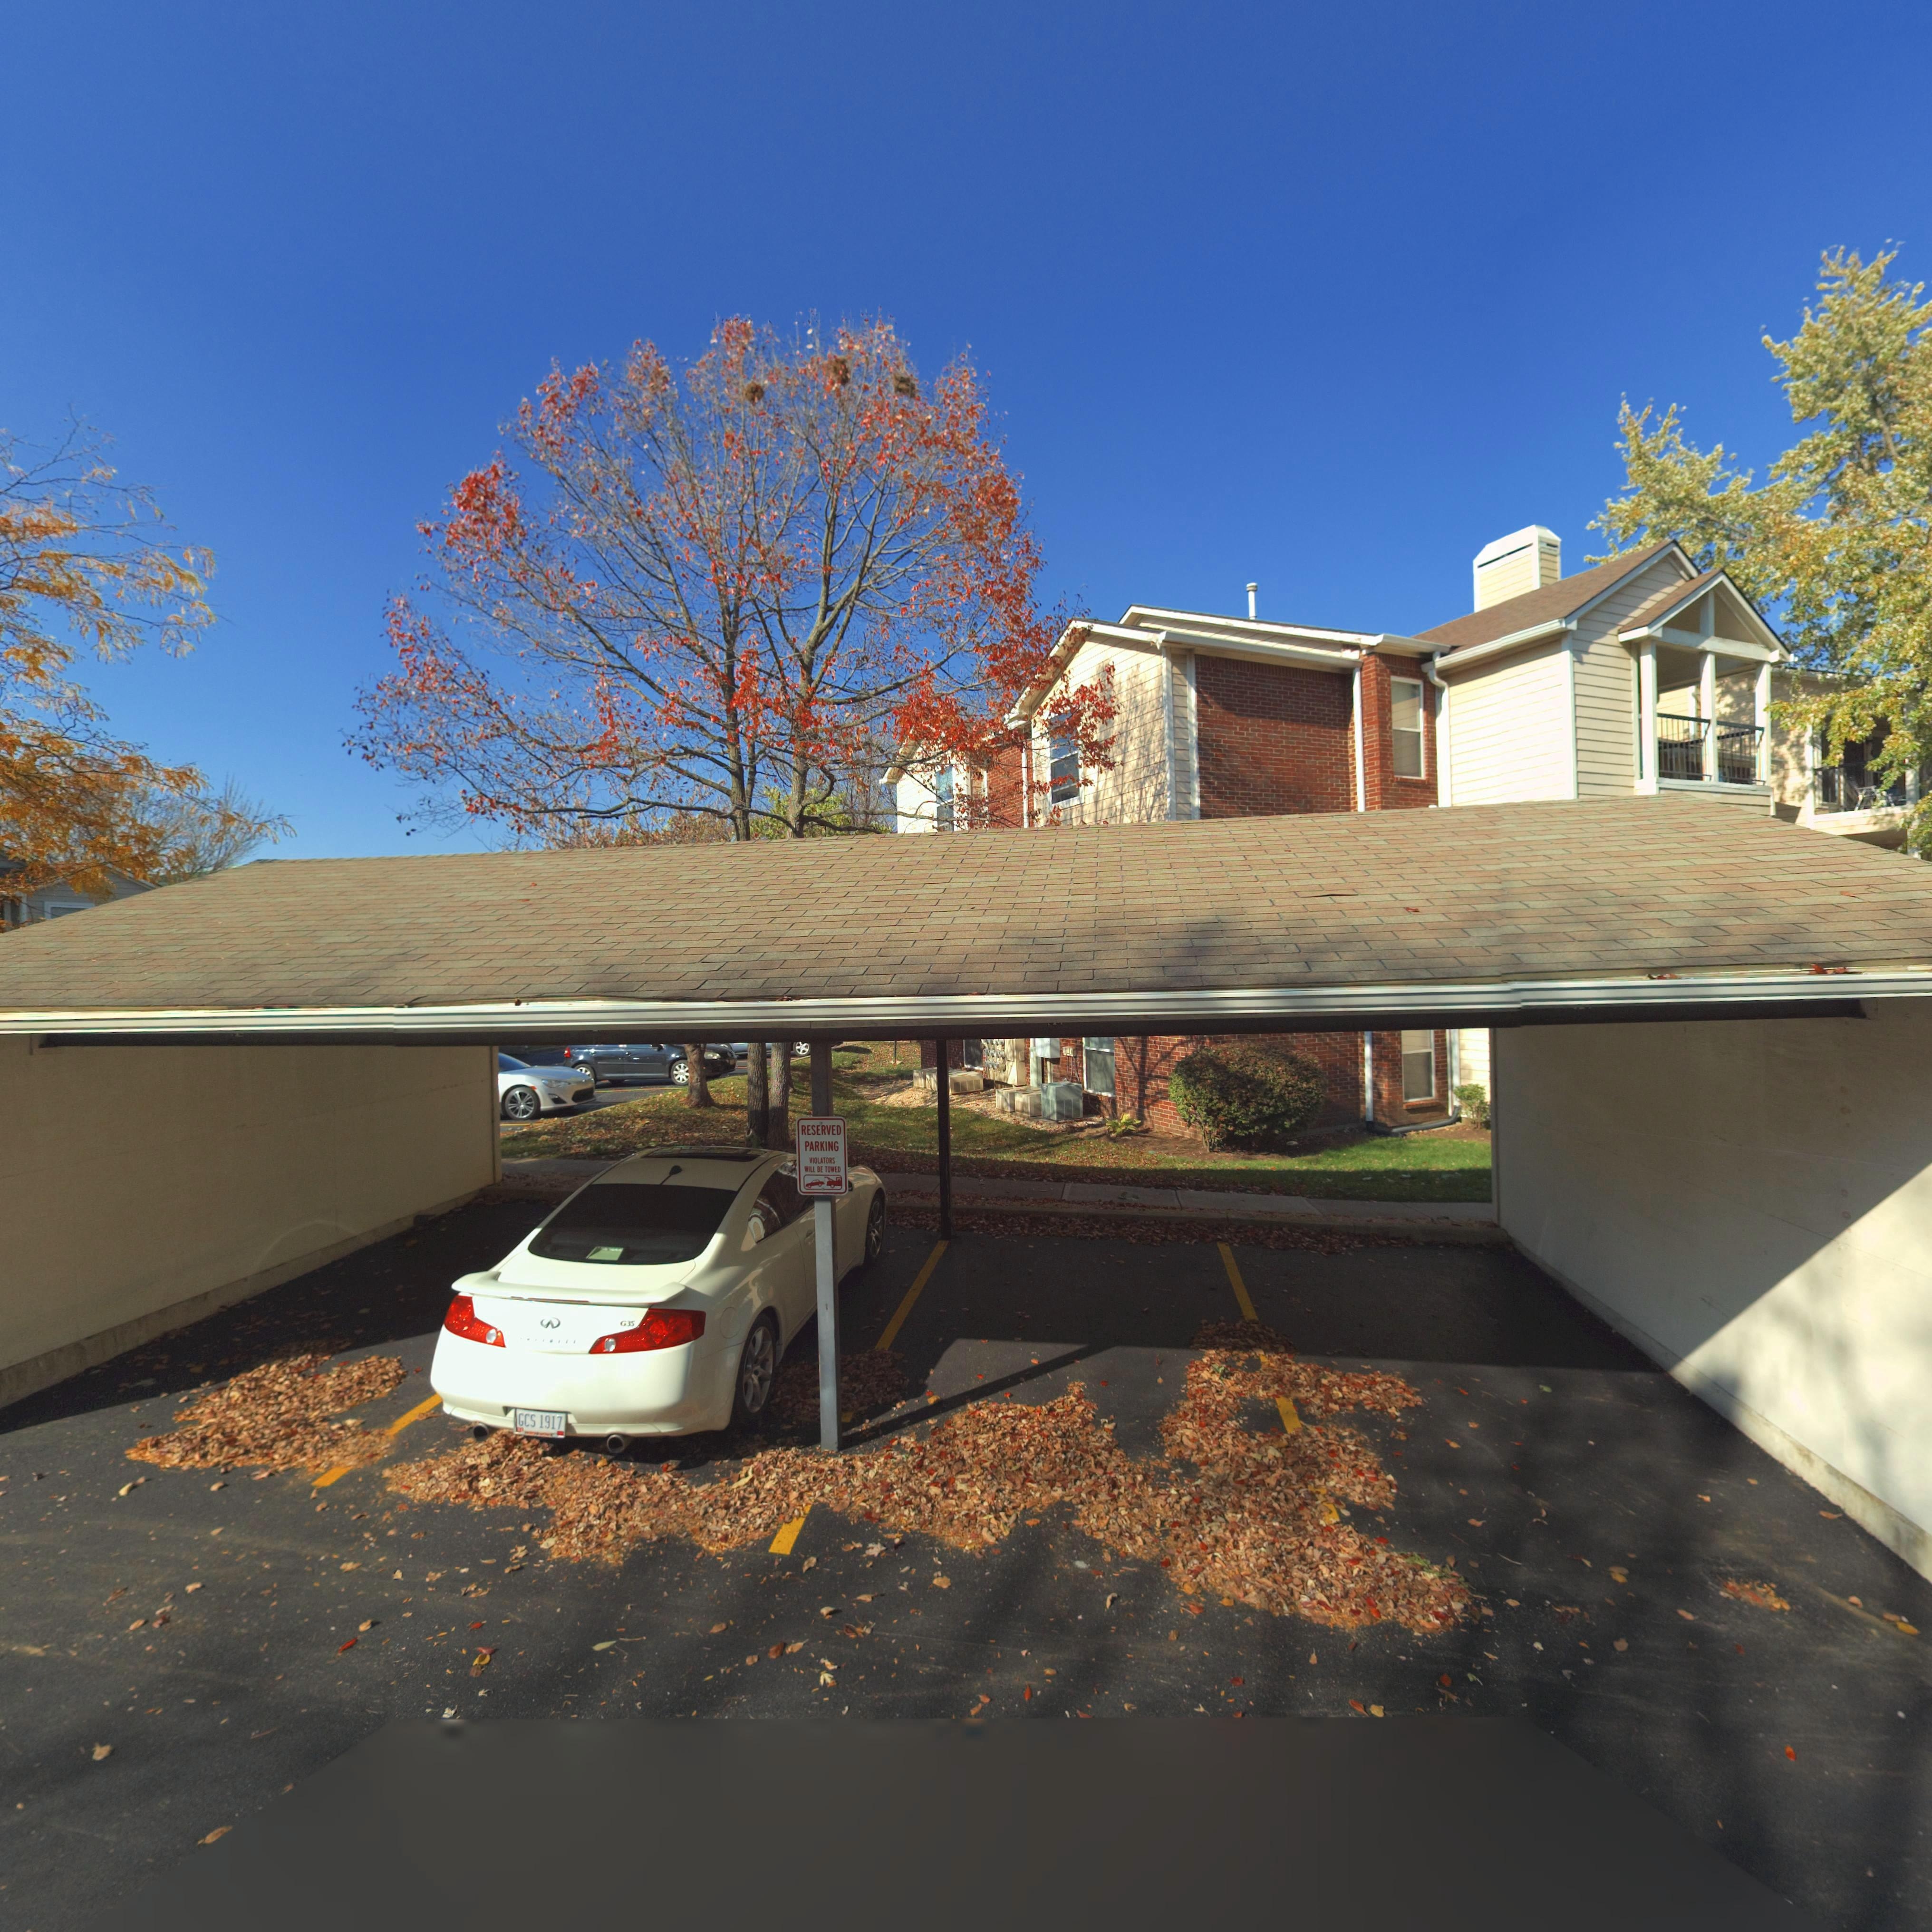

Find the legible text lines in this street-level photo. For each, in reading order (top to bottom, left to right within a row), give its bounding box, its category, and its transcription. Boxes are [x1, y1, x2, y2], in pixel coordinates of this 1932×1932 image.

[801, 1123, 842, 1136] None: RESERVED
[804, 1140, 840, 1152] None: PARKING
[808, 1156, 837, 1165] None: VIOLATORS
[803, 1165, 842, 1174] None: *ILL BE TOWED
[619, 1319, 636, 1328] None: G35
[517, 1412, 563, 1431] None: GCS 1917